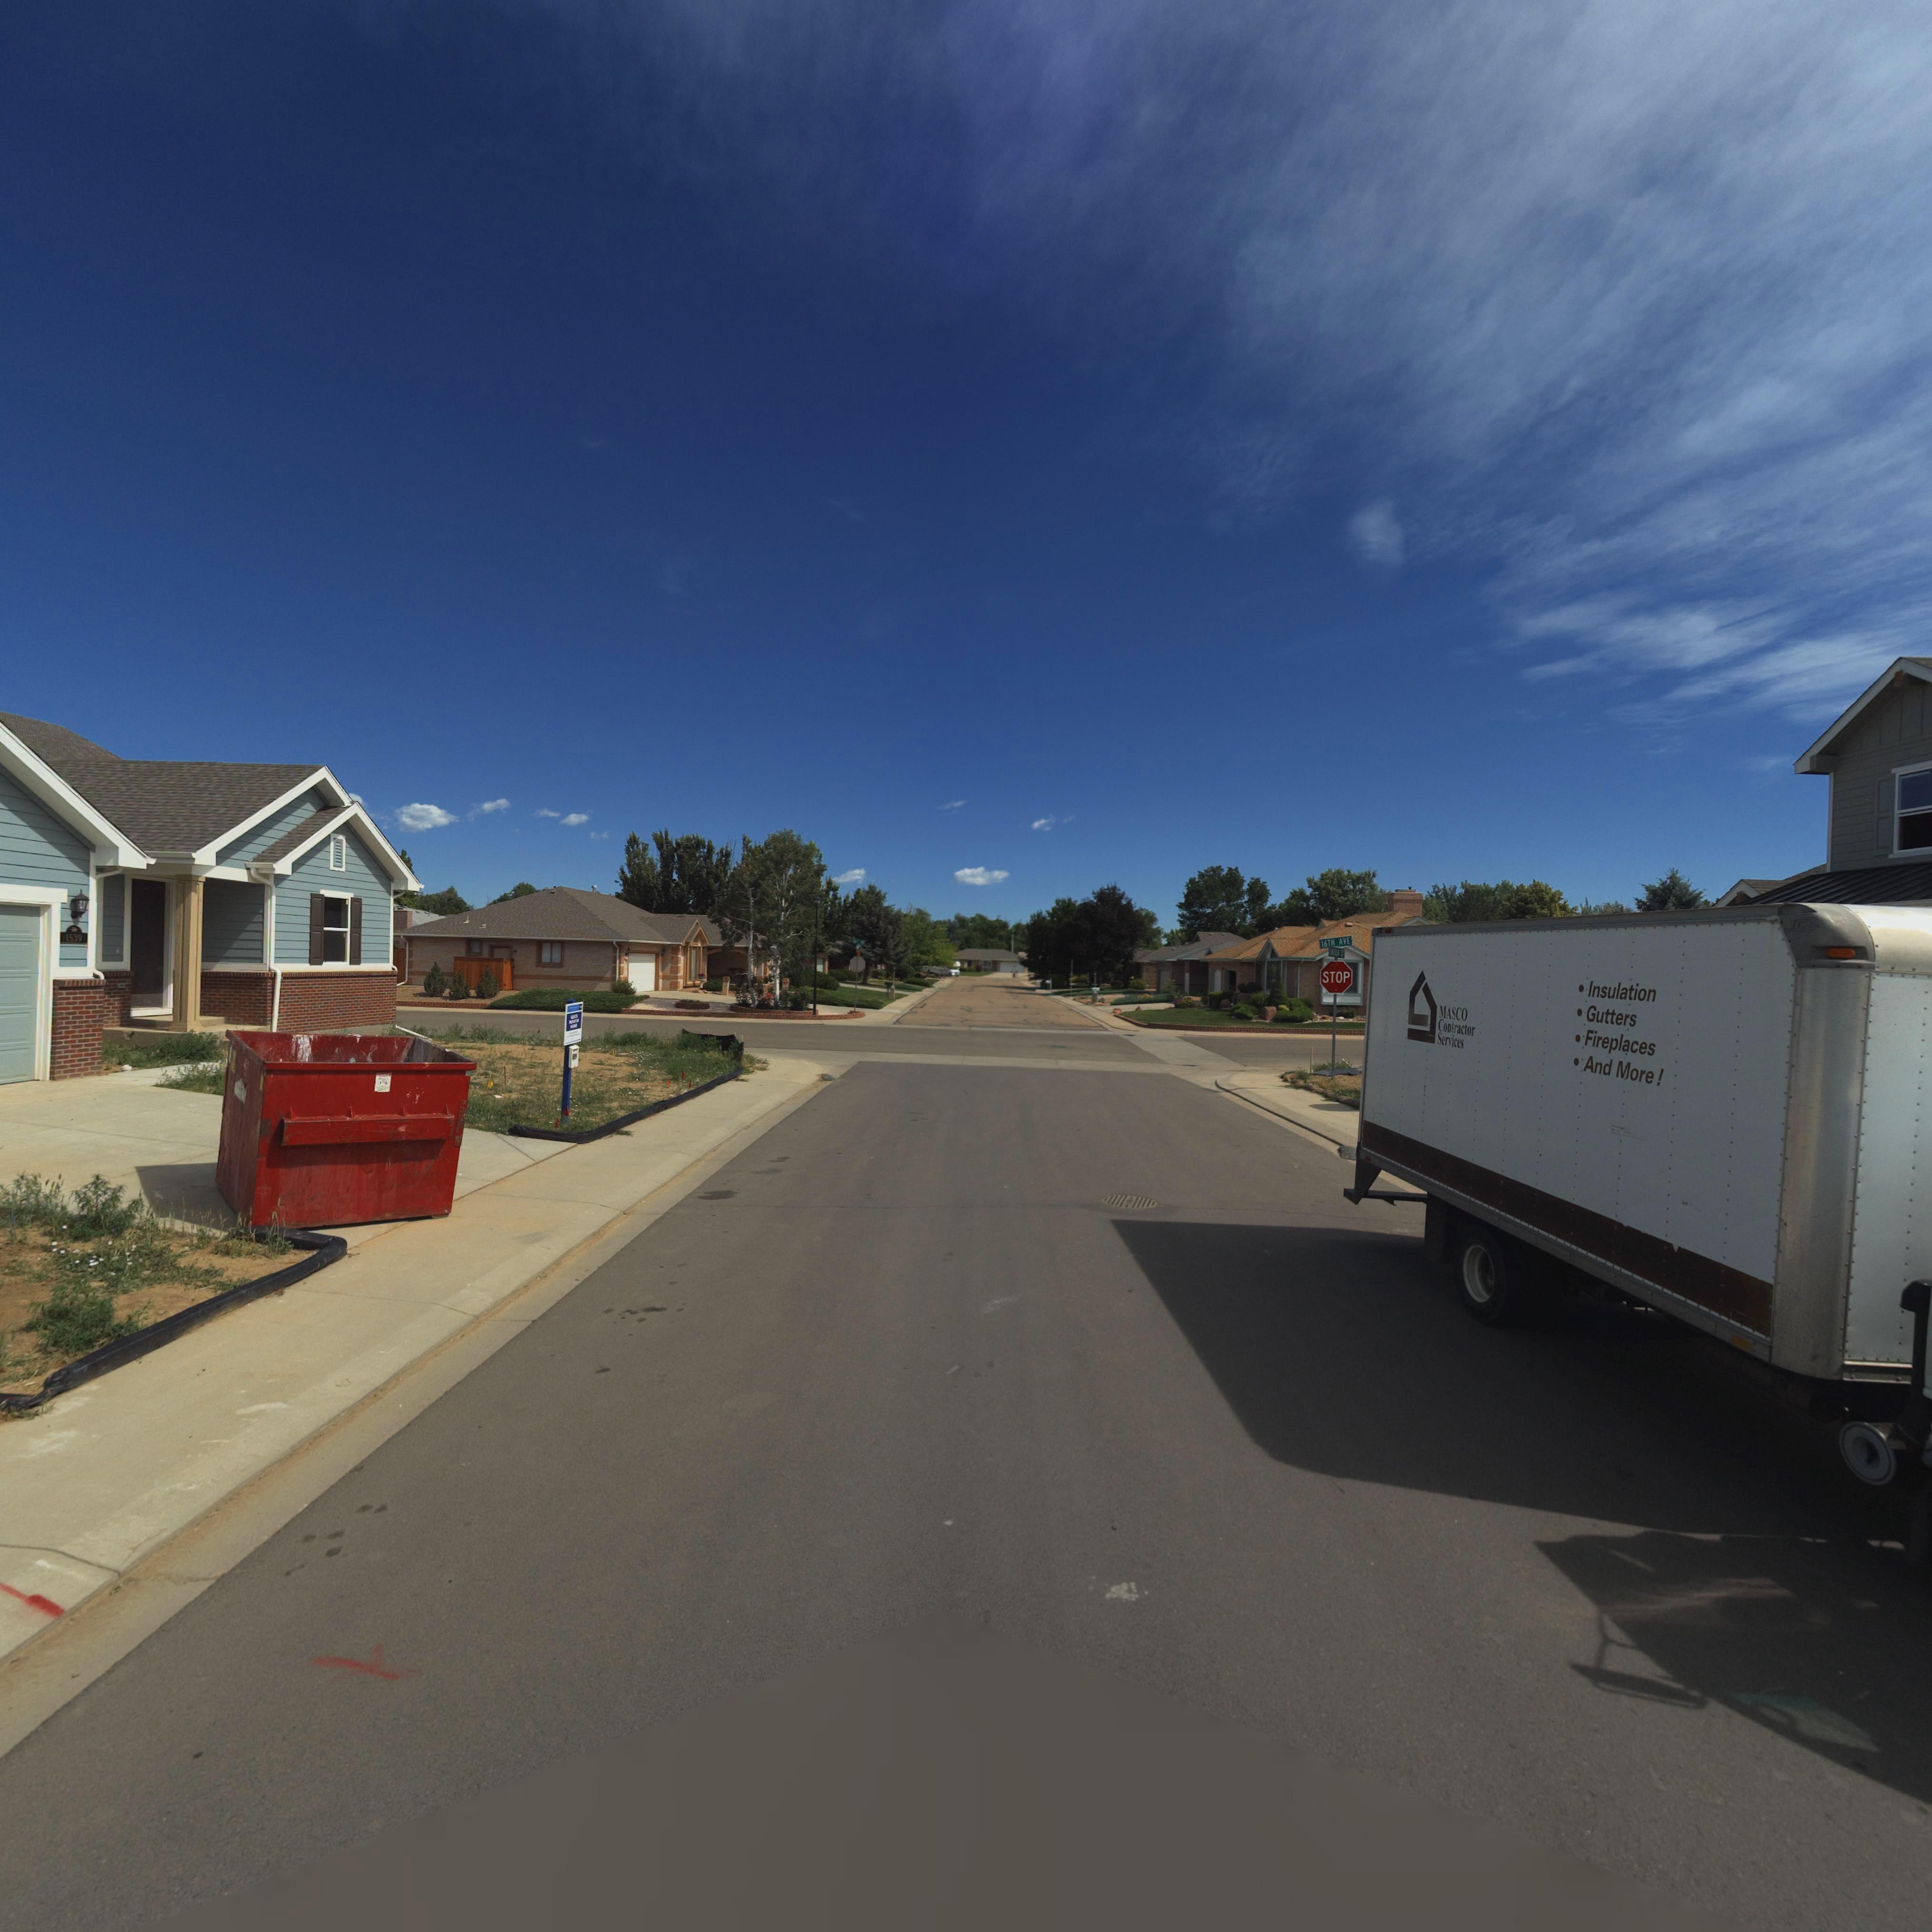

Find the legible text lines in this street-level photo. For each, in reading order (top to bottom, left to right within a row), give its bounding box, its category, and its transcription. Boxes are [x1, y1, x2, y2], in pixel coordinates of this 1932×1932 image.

[66, 933, 83, 942] StreetNumber: 1539
[1321, 937, 1351, 947] StreetName: 16TH AVE
[1340, 949, 1344, 957] StreetName: S*